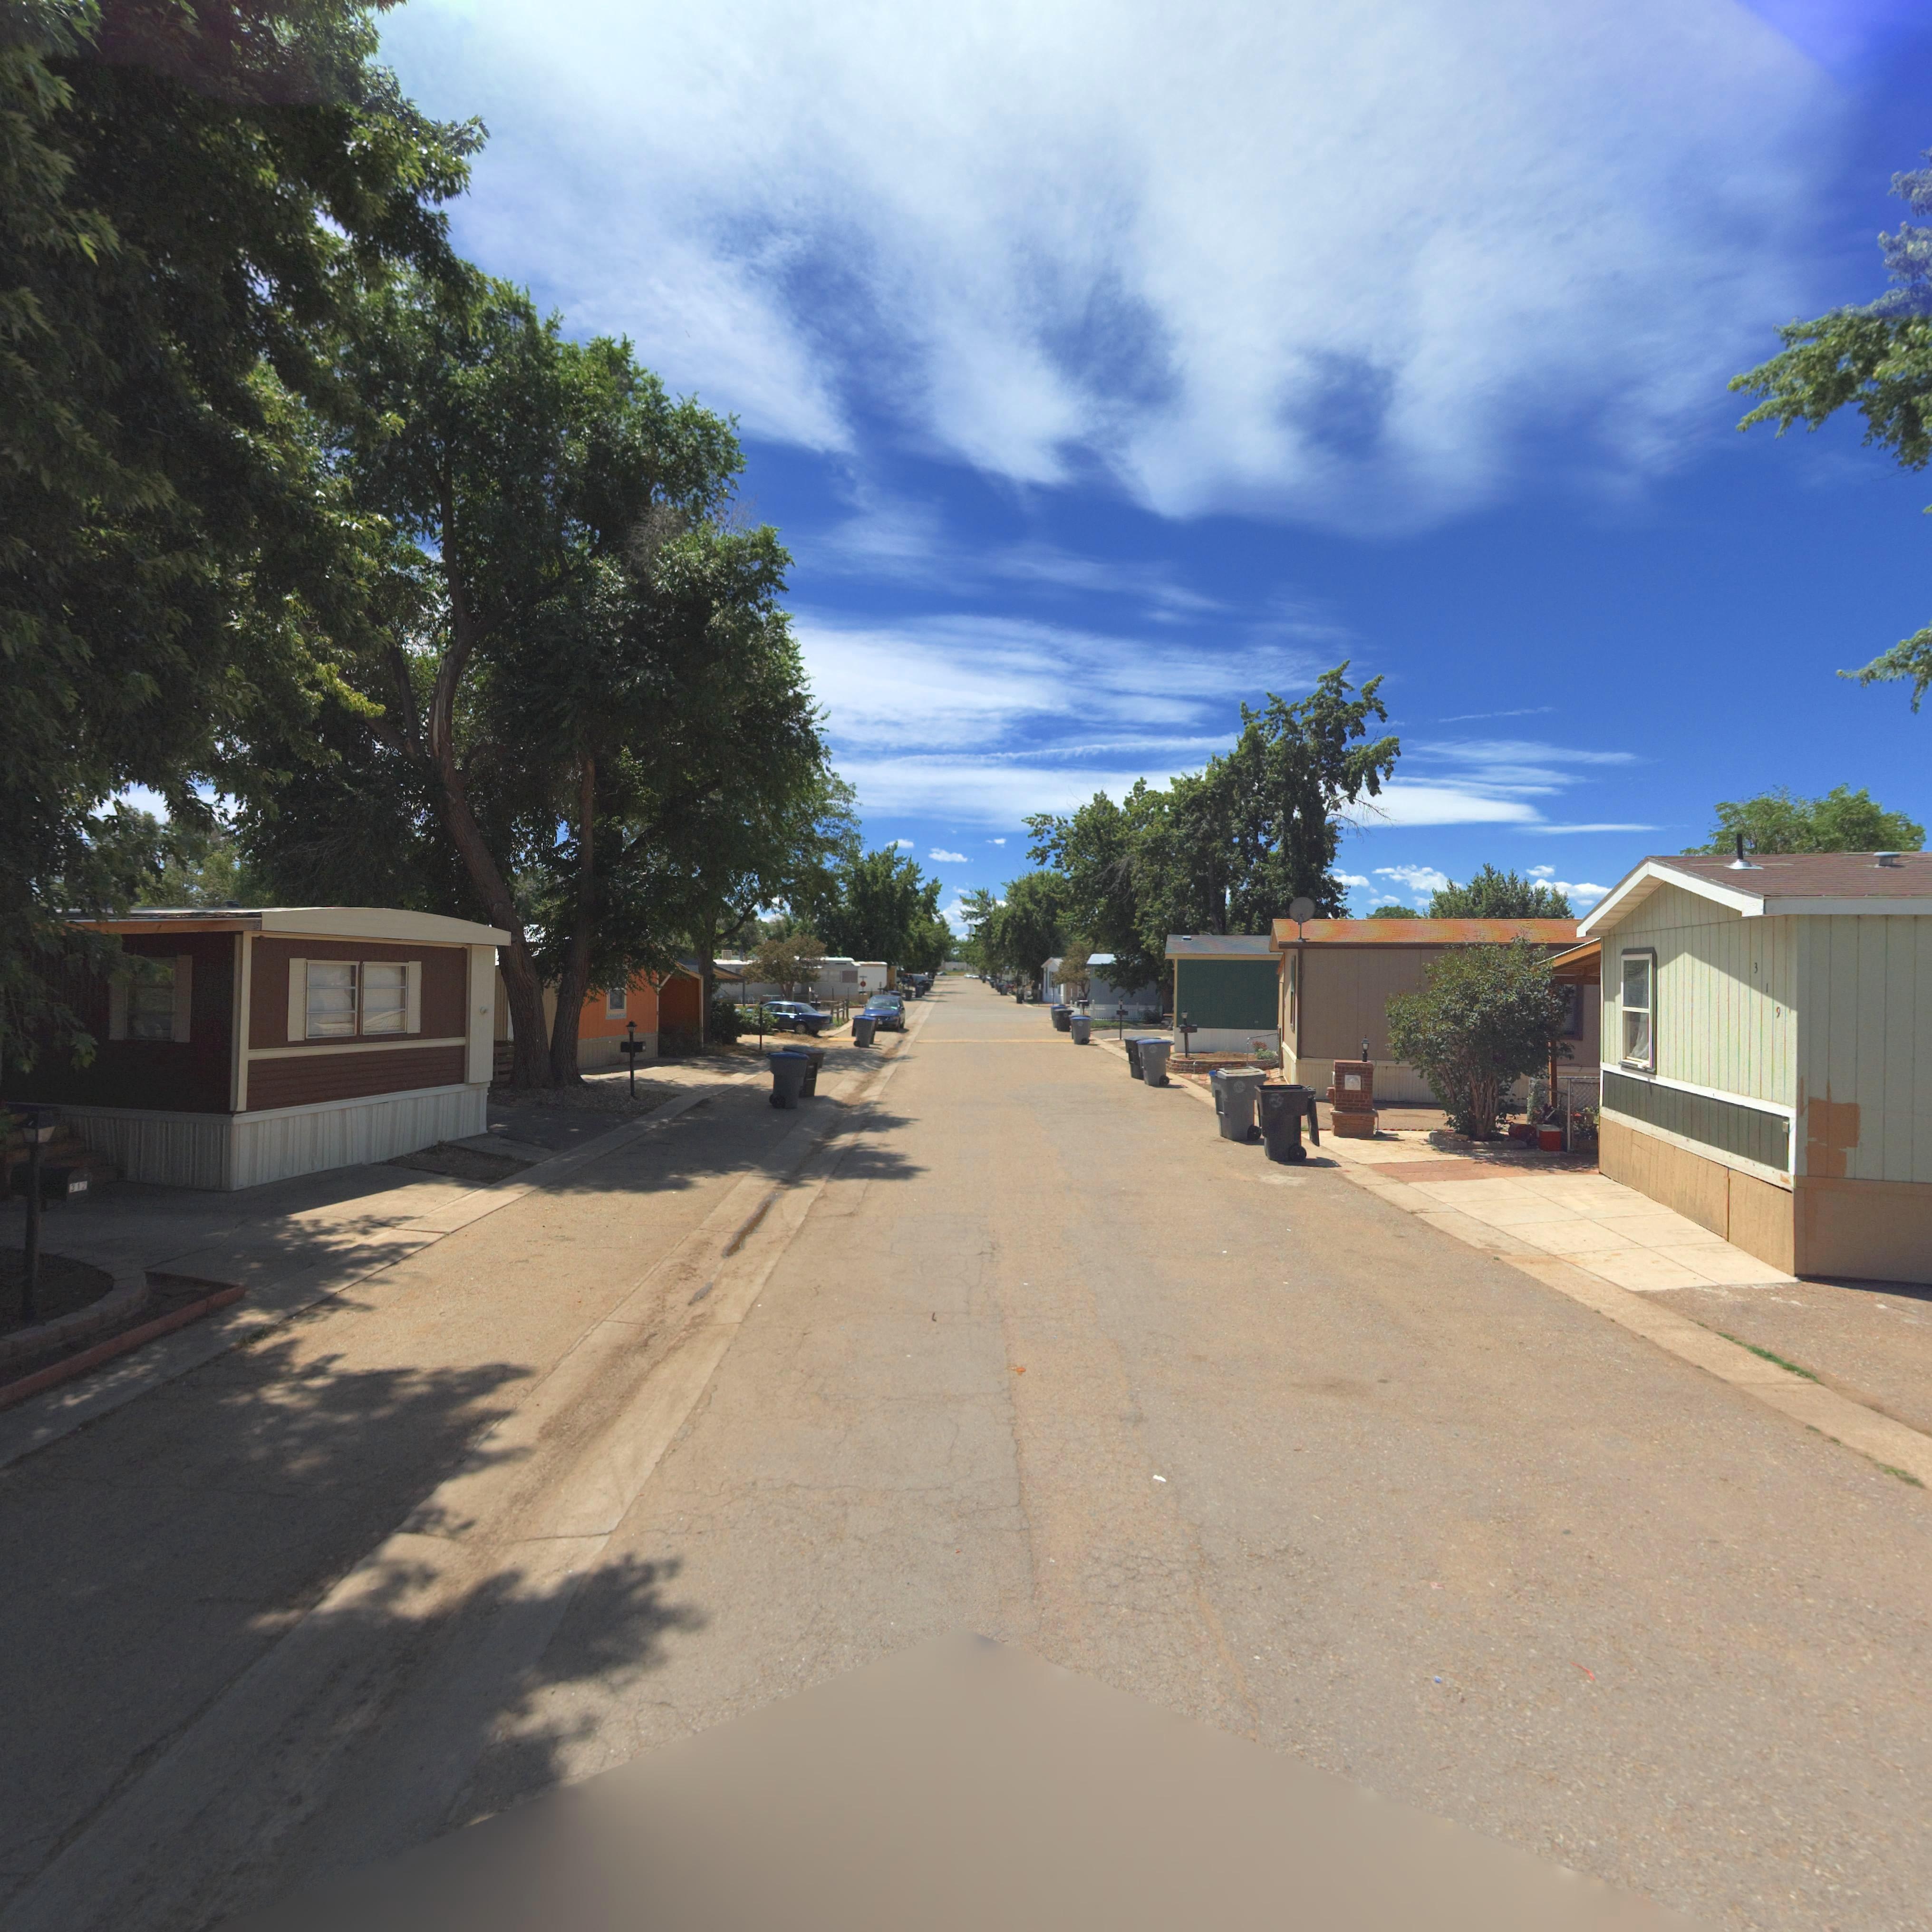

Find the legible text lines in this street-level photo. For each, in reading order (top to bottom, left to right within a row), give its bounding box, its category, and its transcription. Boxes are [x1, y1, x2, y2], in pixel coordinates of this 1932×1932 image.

[1753, 962, 1781, 1019] StreetNumber: 319
[70, 1181, 87, 1191] StreetNumber: 312